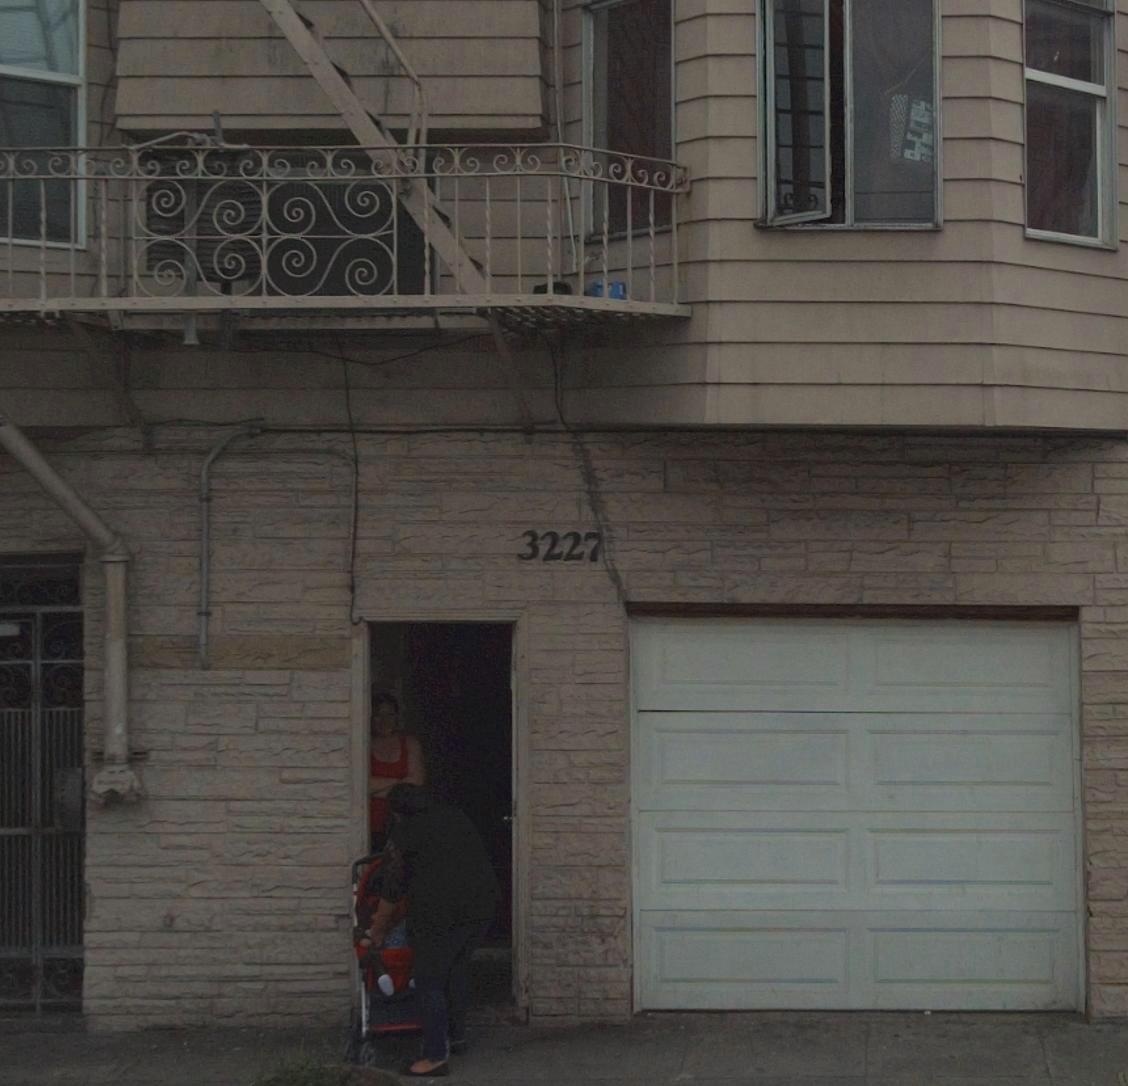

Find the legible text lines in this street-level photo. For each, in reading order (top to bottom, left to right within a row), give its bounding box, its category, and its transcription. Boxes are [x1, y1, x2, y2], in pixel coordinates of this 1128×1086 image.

[515, 528, 604, 563] StreetNumber: 3227